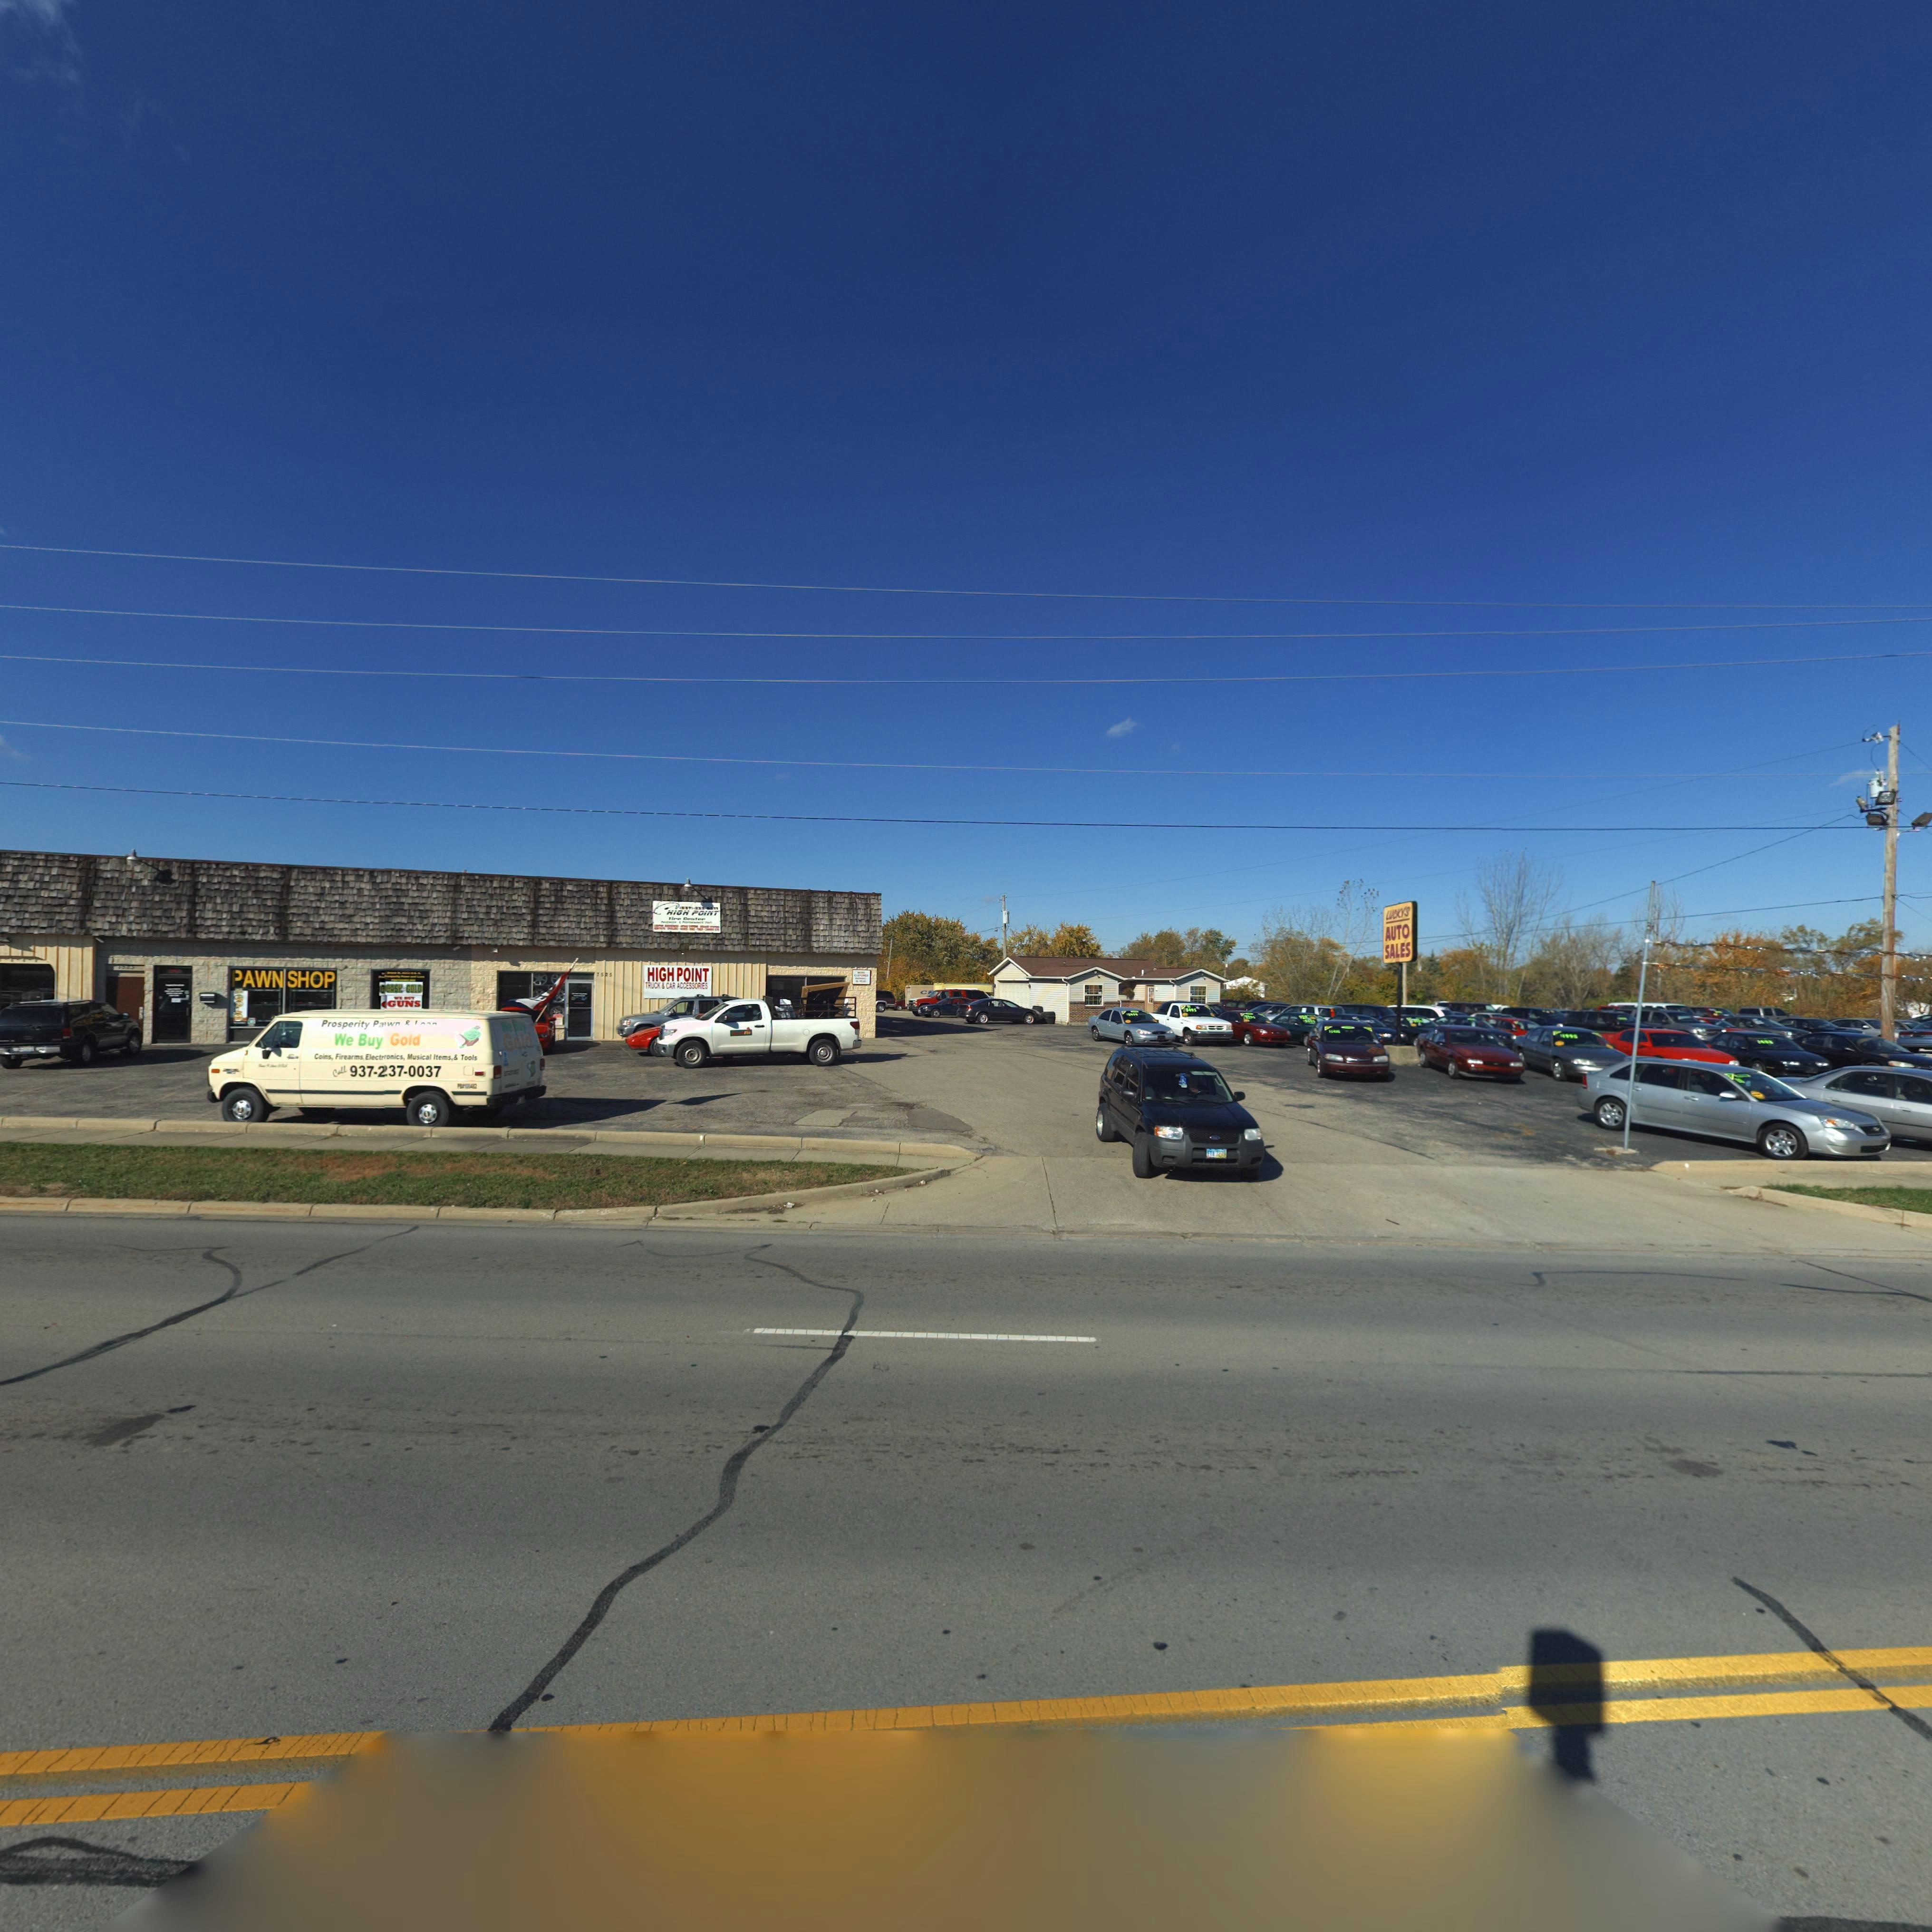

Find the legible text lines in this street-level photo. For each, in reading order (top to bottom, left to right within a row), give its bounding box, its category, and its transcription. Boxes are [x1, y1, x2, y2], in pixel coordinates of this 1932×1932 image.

[666, 909, 720, 916] BusinessName: HIGH POINT
[1385, 906, 1411, 921] BusinessName: LUCKYS
[1384, 923, 1410, 942] BusinessName: AUTO
[1385, 941, 1411, 959] BusinessName: SALES
[116, 964, 135, 970] StreetNumber: 7523
[596, 972, 613, 977] StreetNumber: 7525
[647, 966, 710, 983] BusinessName: HIGH POINT